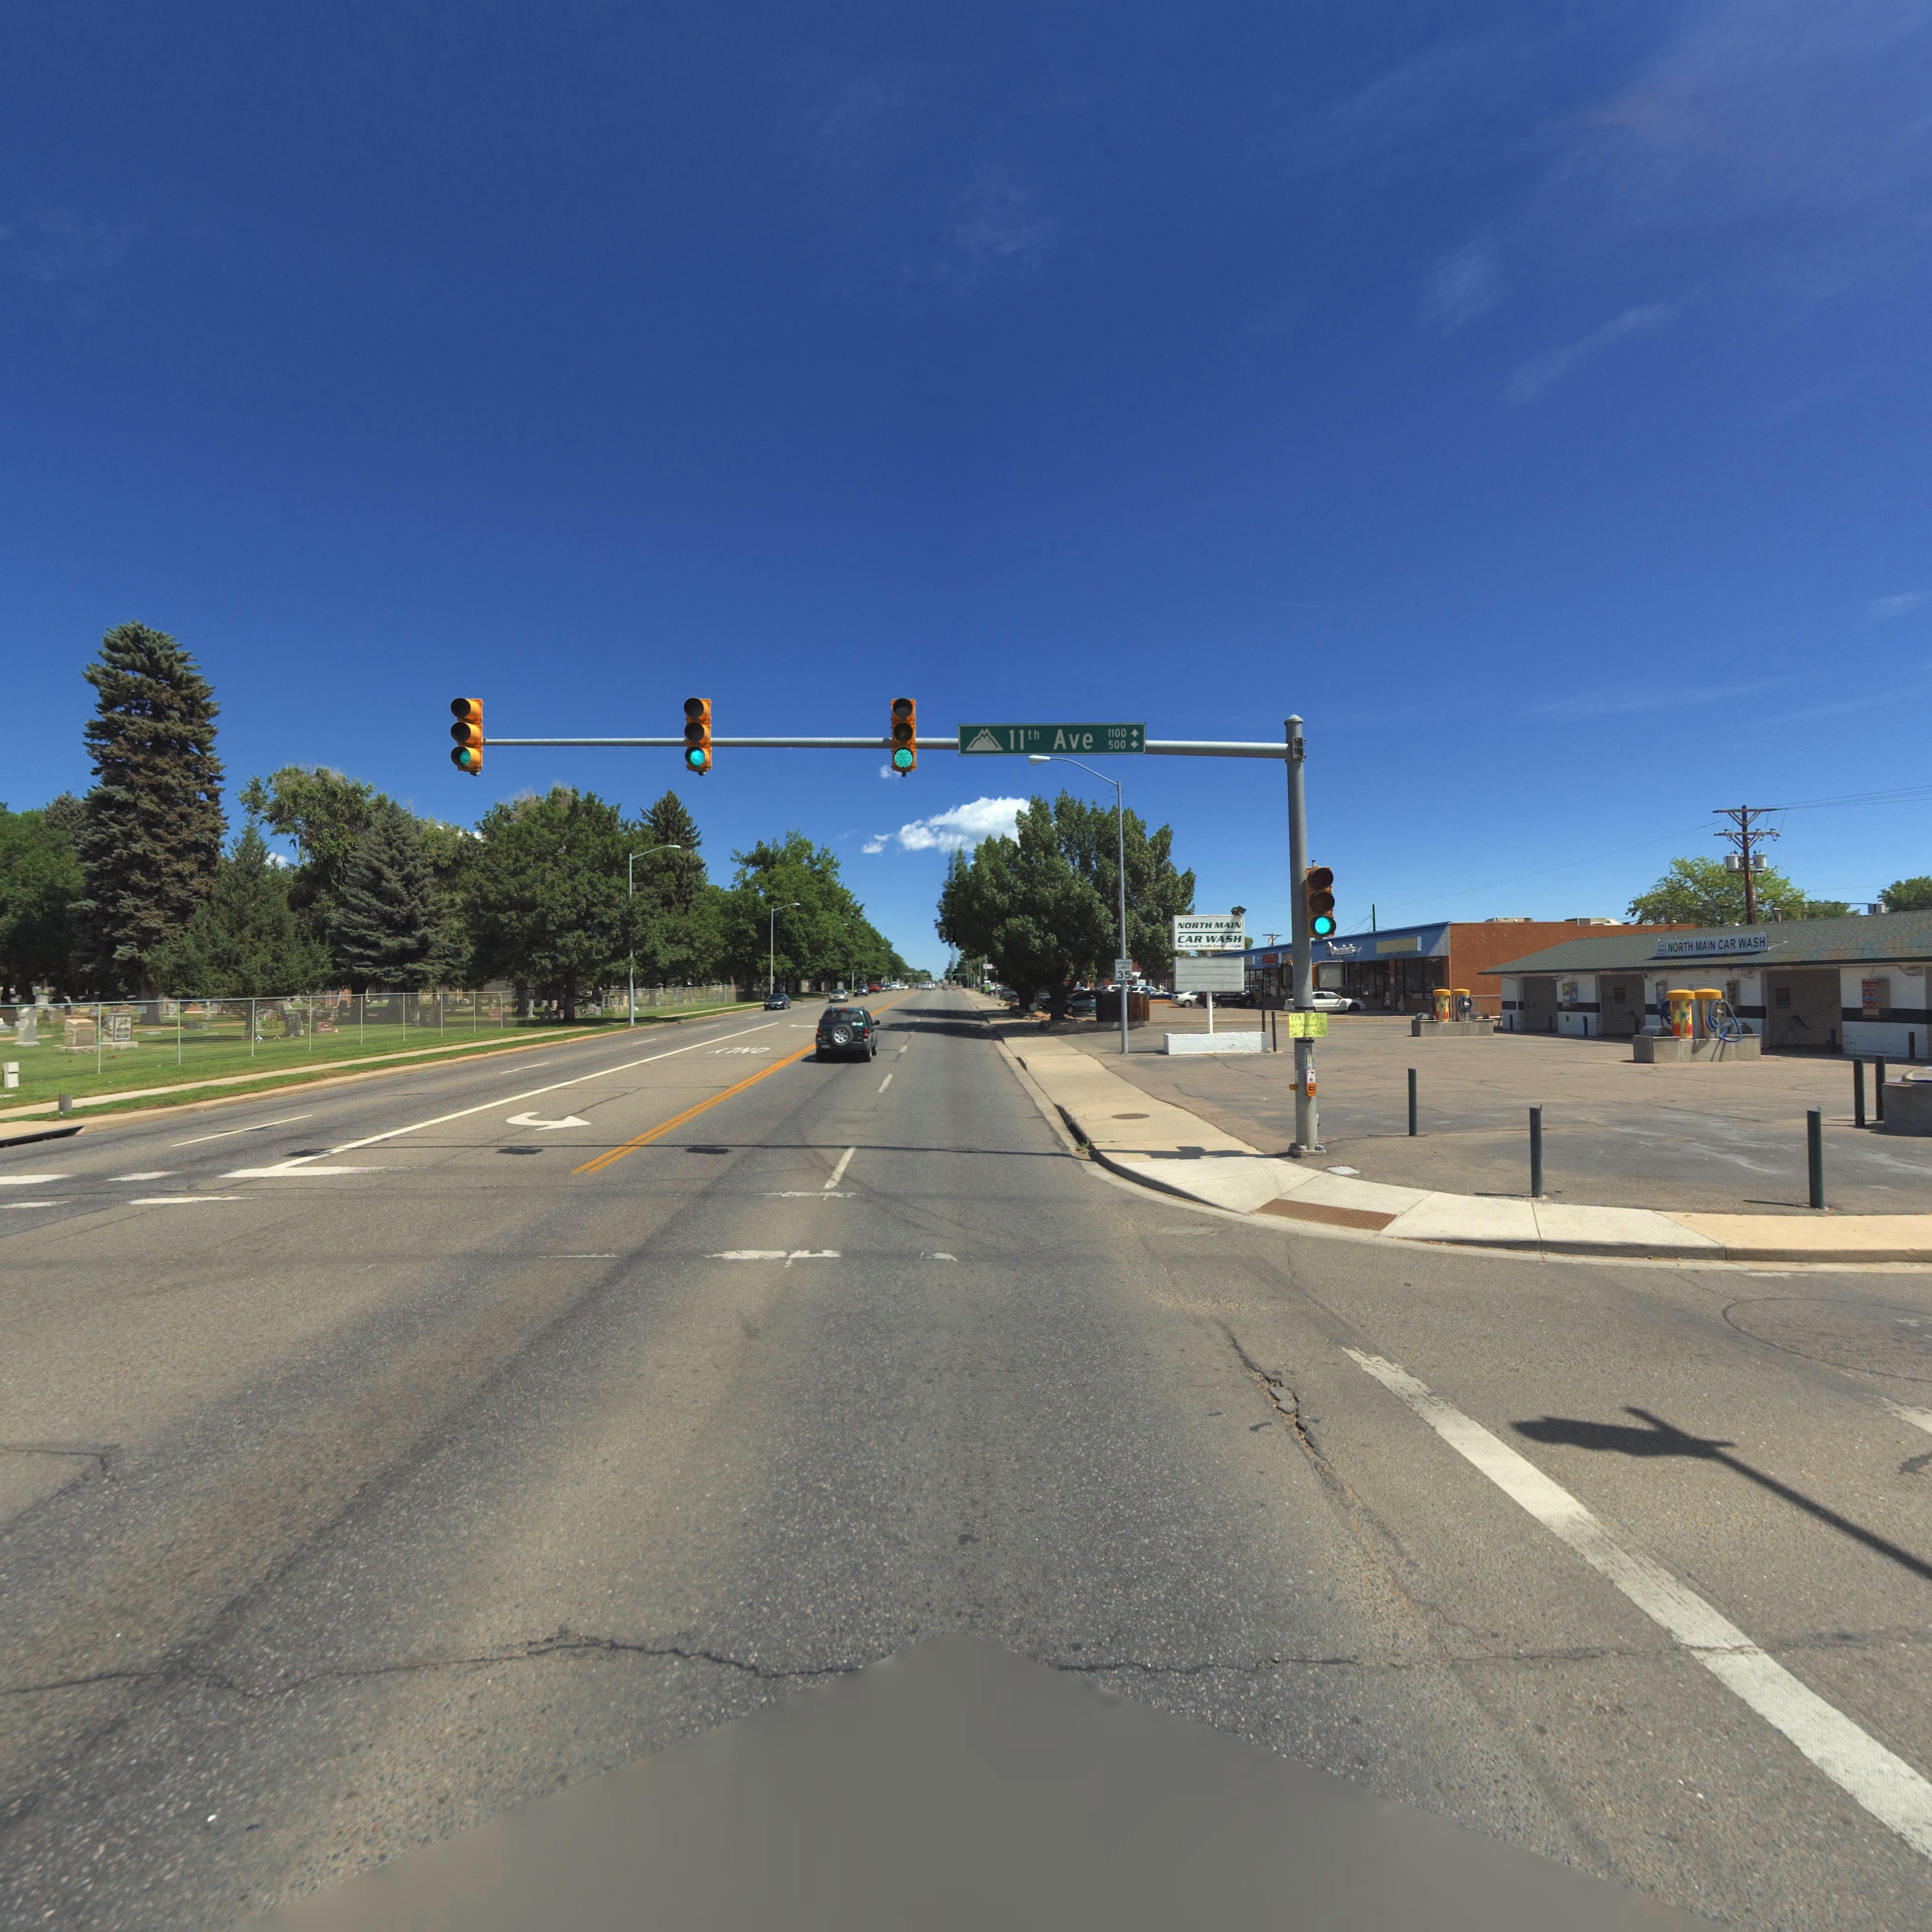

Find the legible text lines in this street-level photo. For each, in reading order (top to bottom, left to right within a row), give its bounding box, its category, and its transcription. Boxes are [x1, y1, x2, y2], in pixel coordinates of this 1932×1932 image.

[1108, 728, 1126, 737] StreetNumberRange: 1100
[1009, 728, 1094, 750] StreetName: 11th Ave
[1108, 739, 1140, 749] StreetNumberRange: 500->
[1176, 921, 1242, 929] BusinessName: NORTH MAIN
[1177, 935, 1242, 943] BusinessName: CAR WASH
[1667, 936, 1766, 953] BusinessName: NORTH MAIN CAR WASH
[1330, 944, 1354, 956] BusinessName: D****